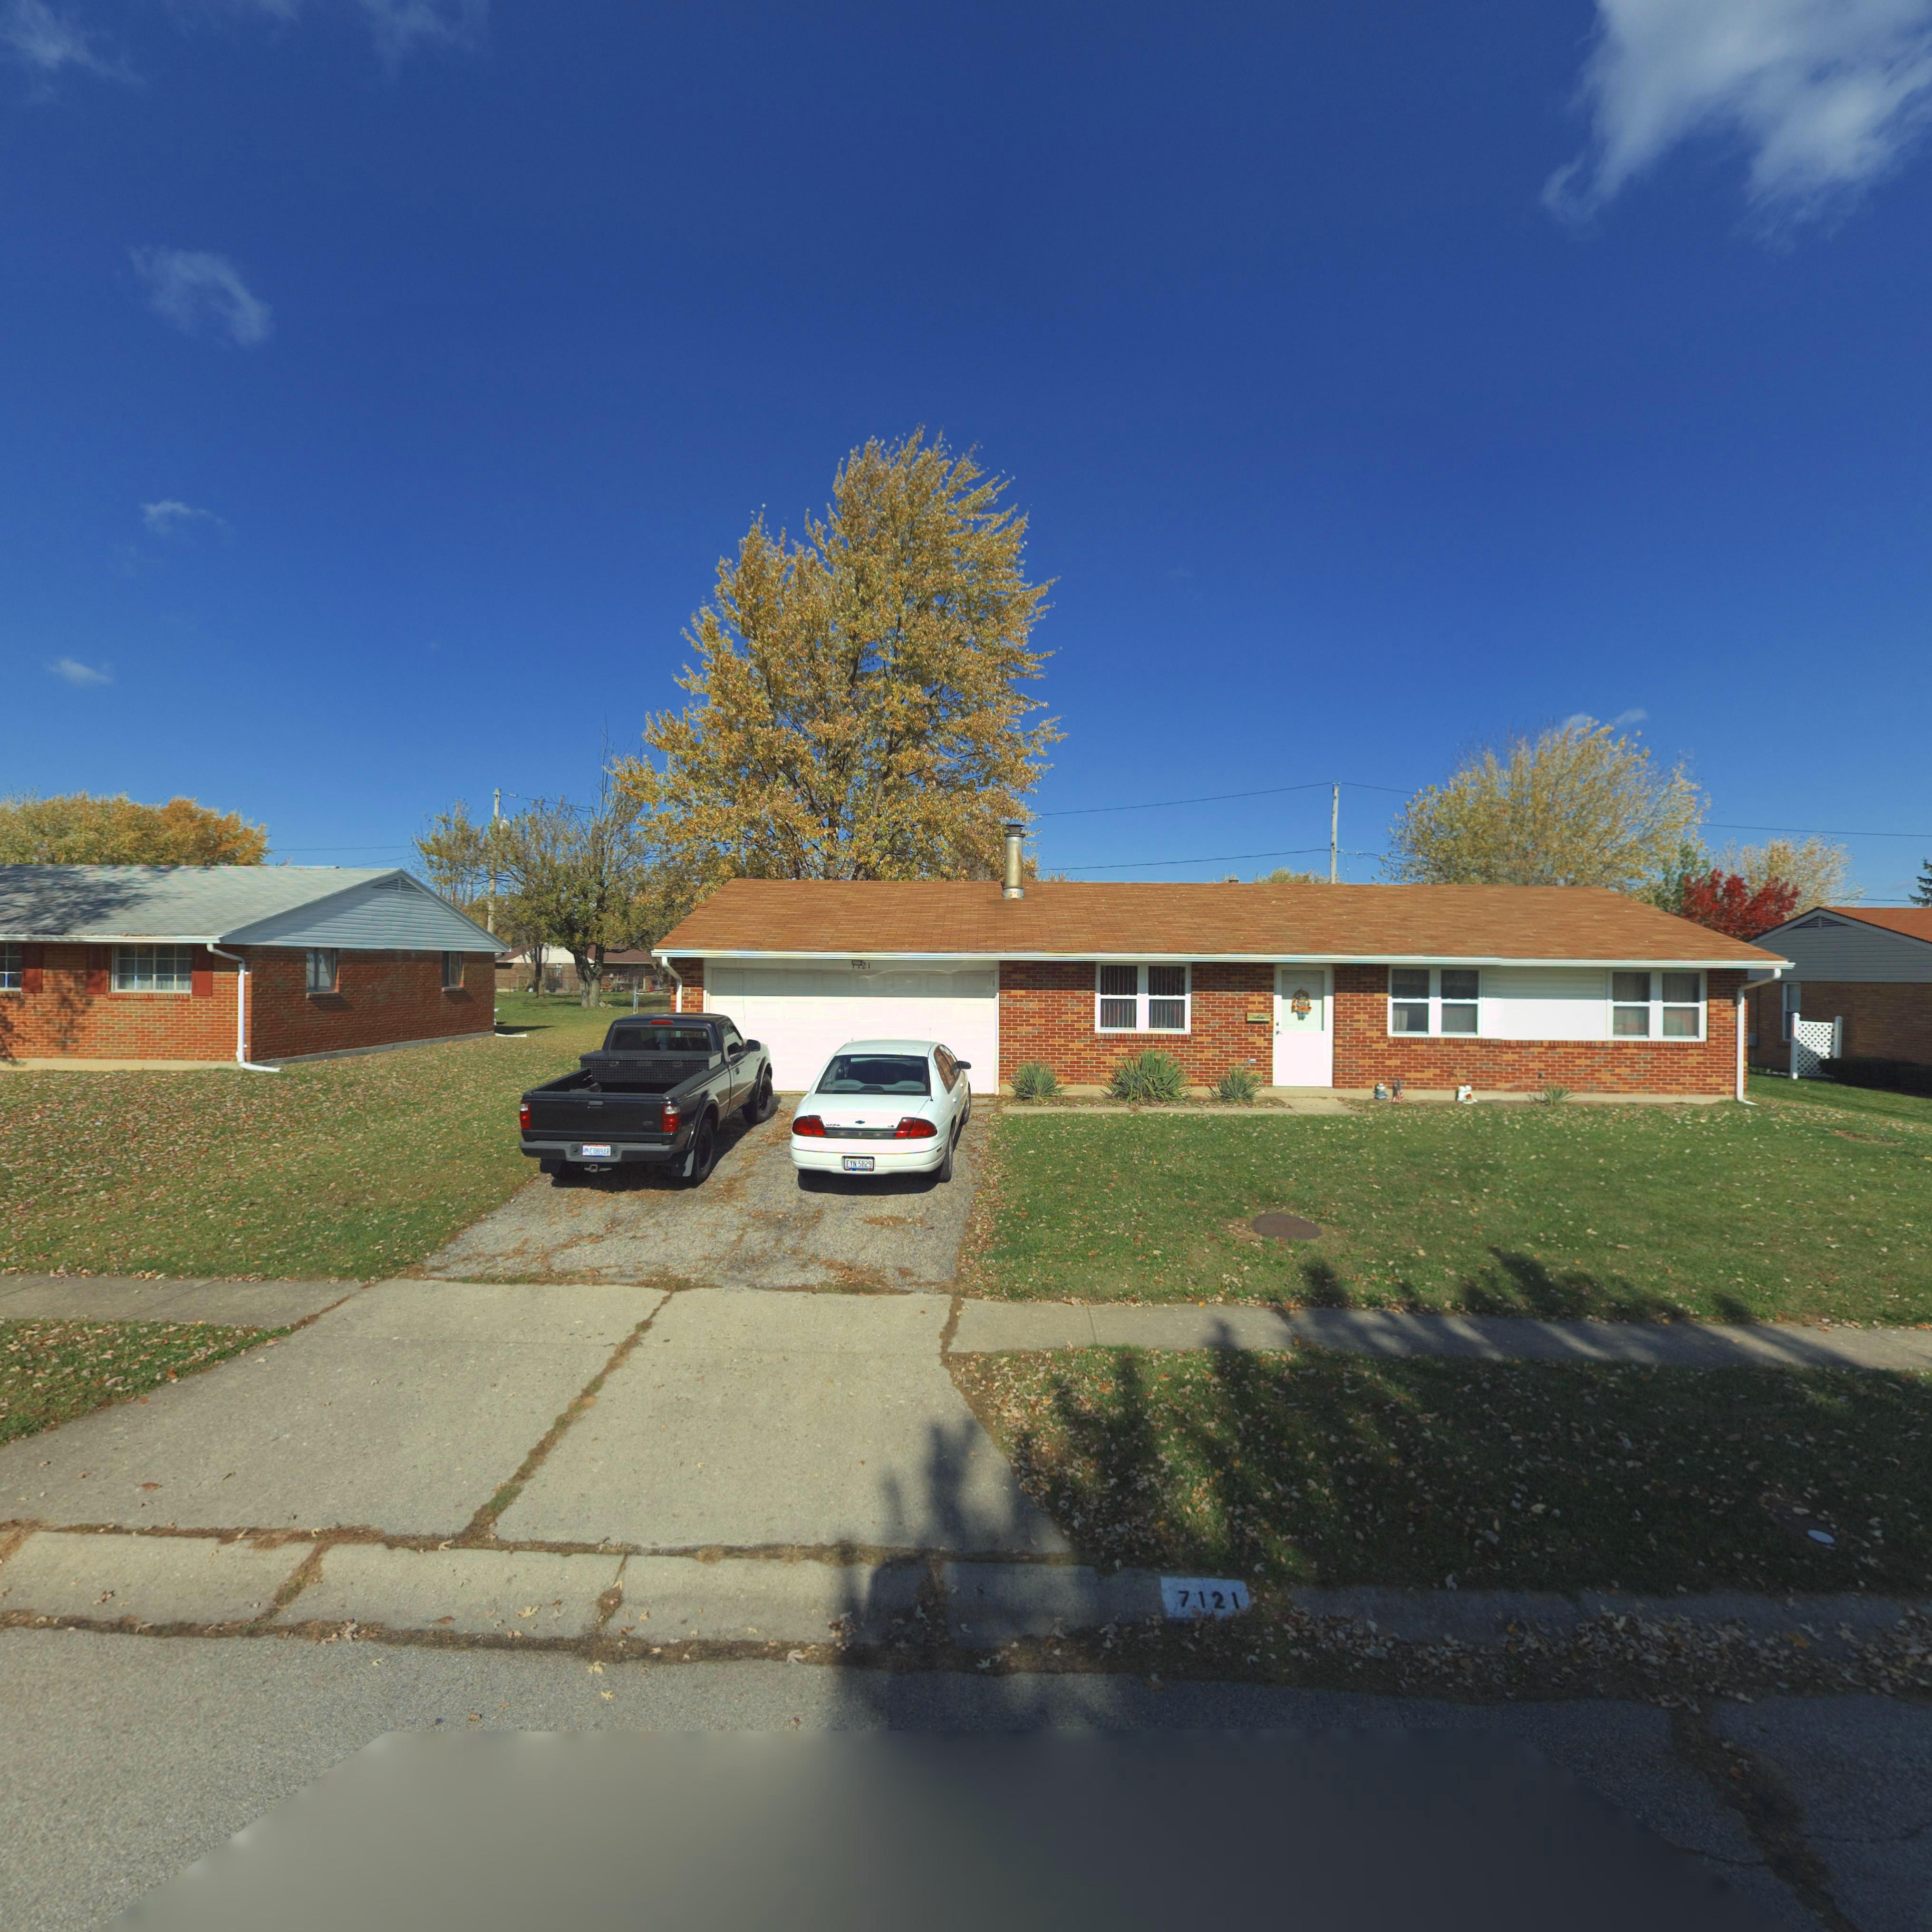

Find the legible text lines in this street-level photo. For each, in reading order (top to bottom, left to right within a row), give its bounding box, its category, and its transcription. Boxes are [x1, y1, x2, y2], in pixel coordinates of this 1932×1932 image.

[861, 961, 871, 970] StreetNumber: 21
[1177, 1589, 1241, 1611] StreetNumber: 7121